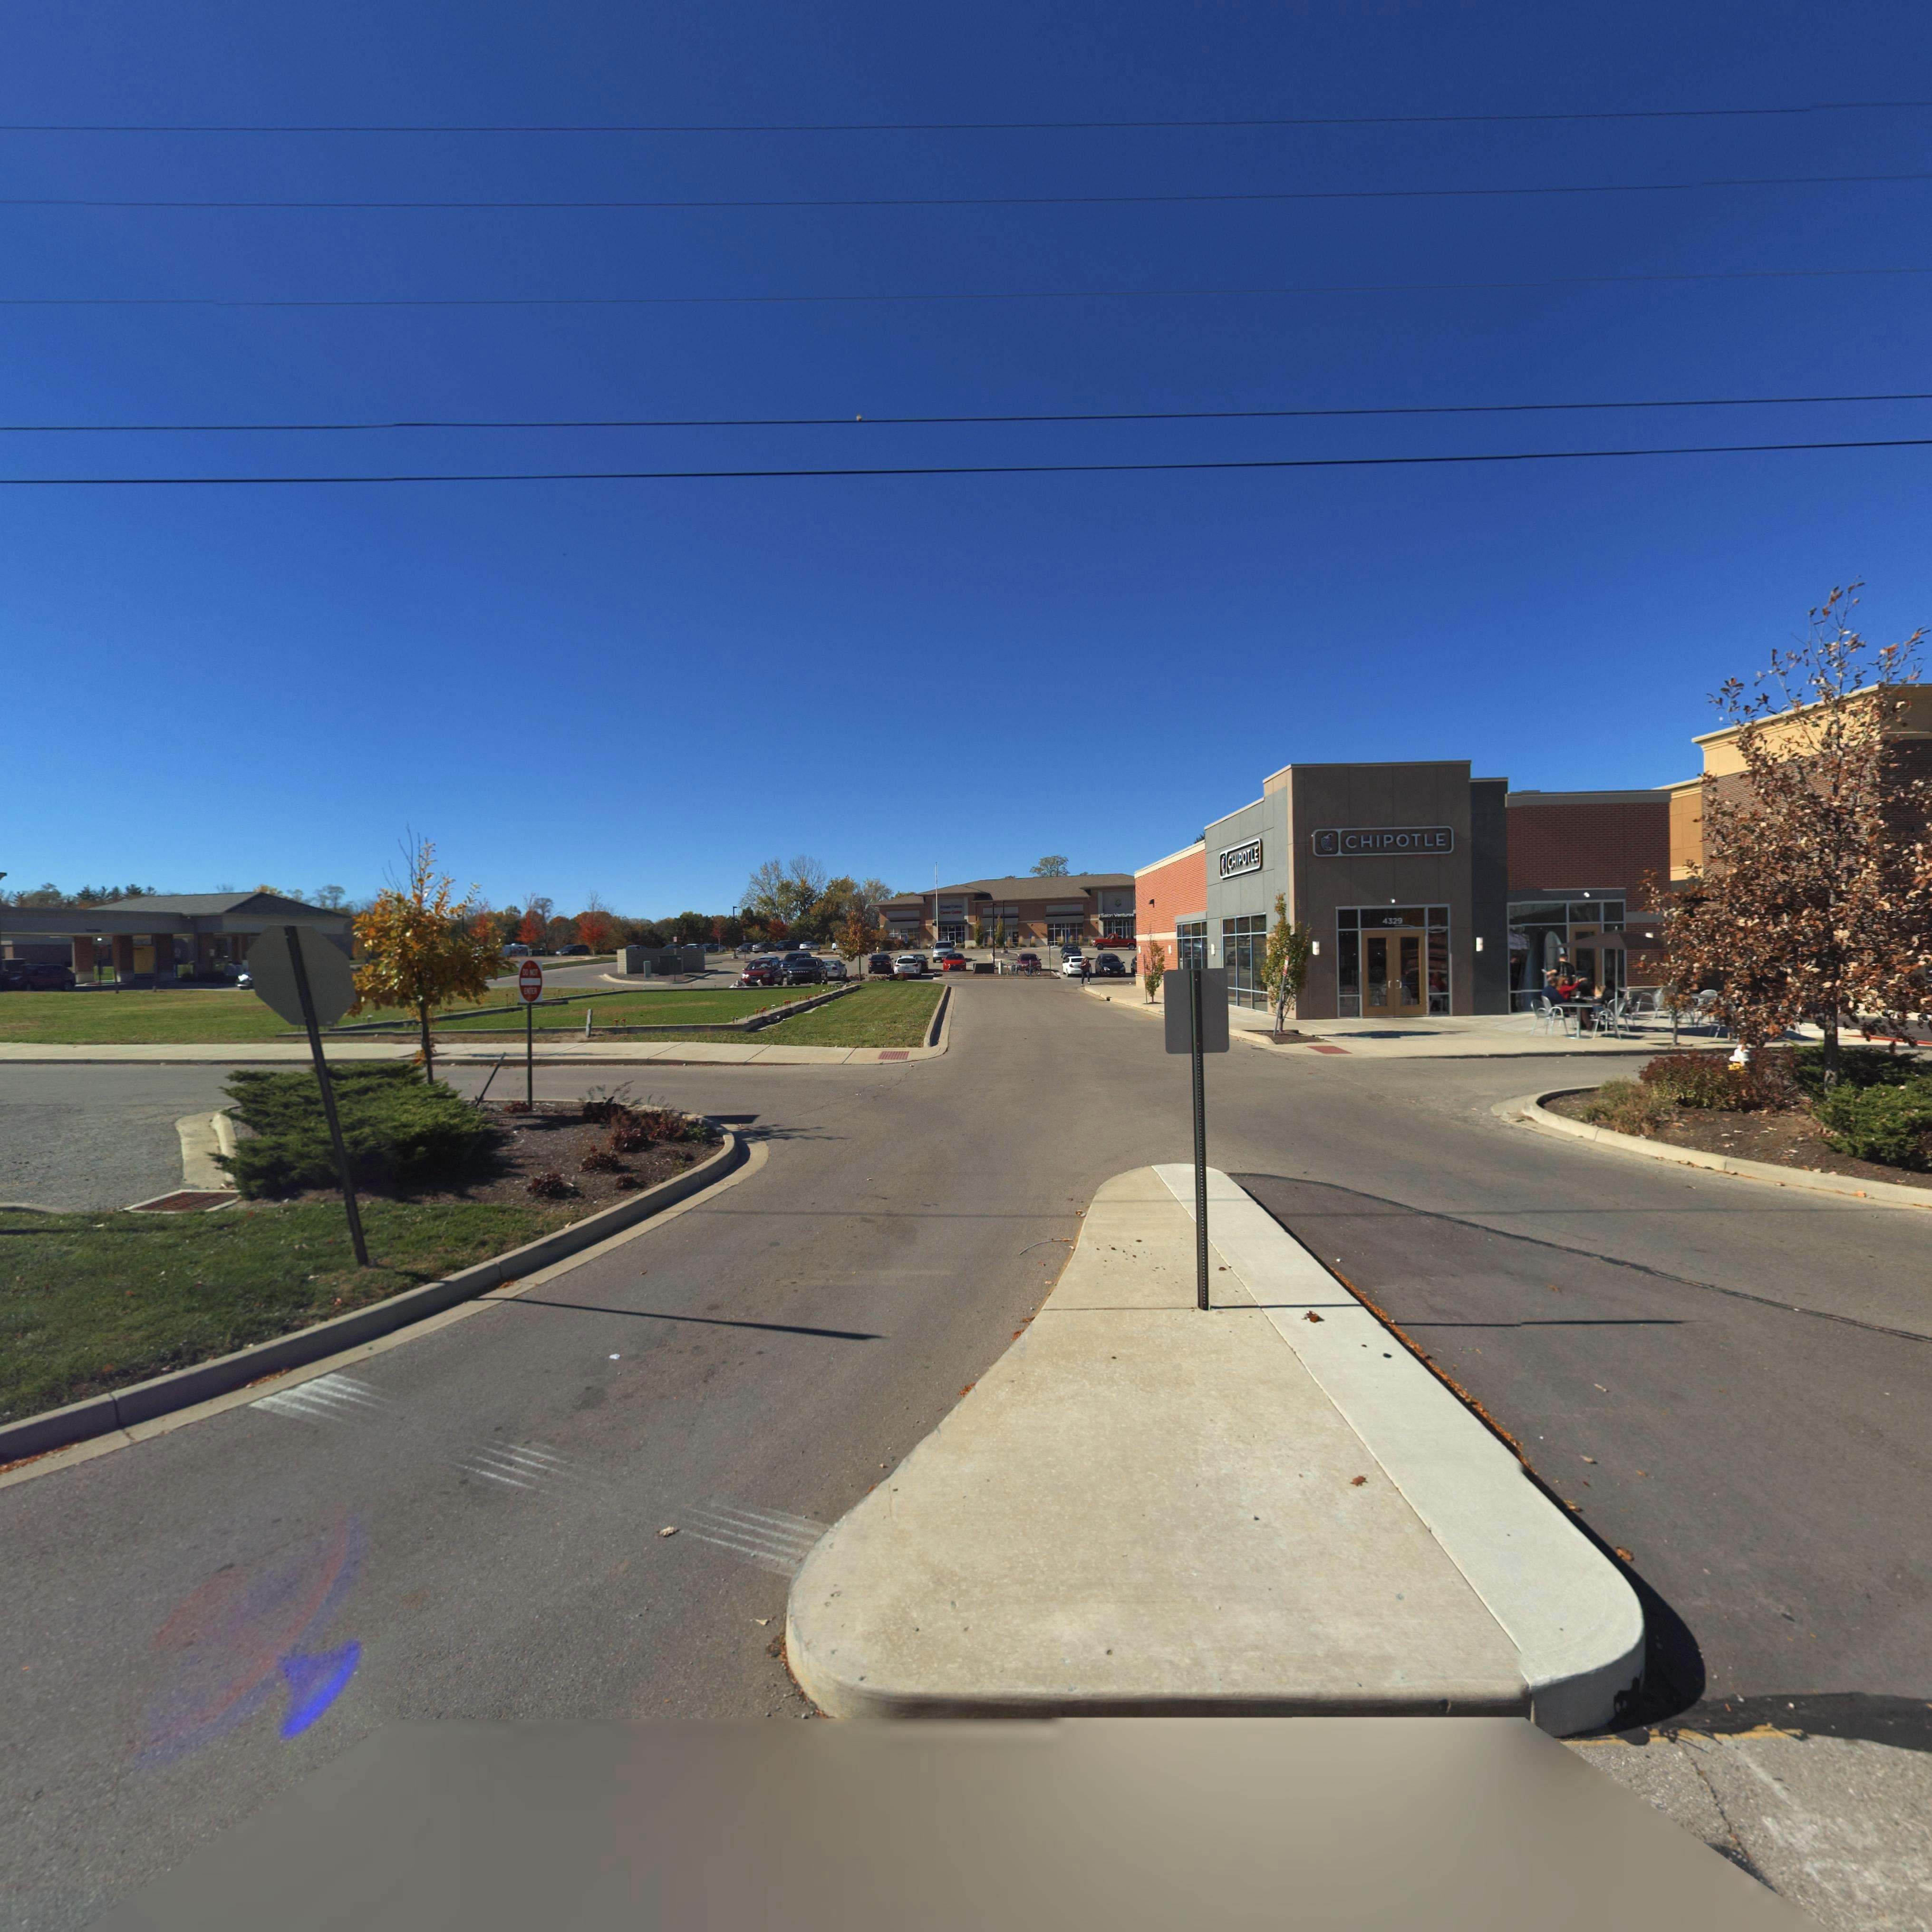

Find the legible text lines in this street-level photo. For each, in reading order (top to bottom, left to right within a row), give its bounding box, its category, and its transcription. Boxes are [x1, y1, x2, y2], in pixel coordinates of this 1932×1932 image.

[1344, 832, 1447, 849] BusinessName: CHIPOTLE
[1227, 845, 1259, 870] BusinessName: CHIPOTLE
[1381, 917, 1403, 925] StreetNumber: 4329
[522, 968, 539, 976] None: DO NOT
[523, 987, 538, 995] None: ENTER